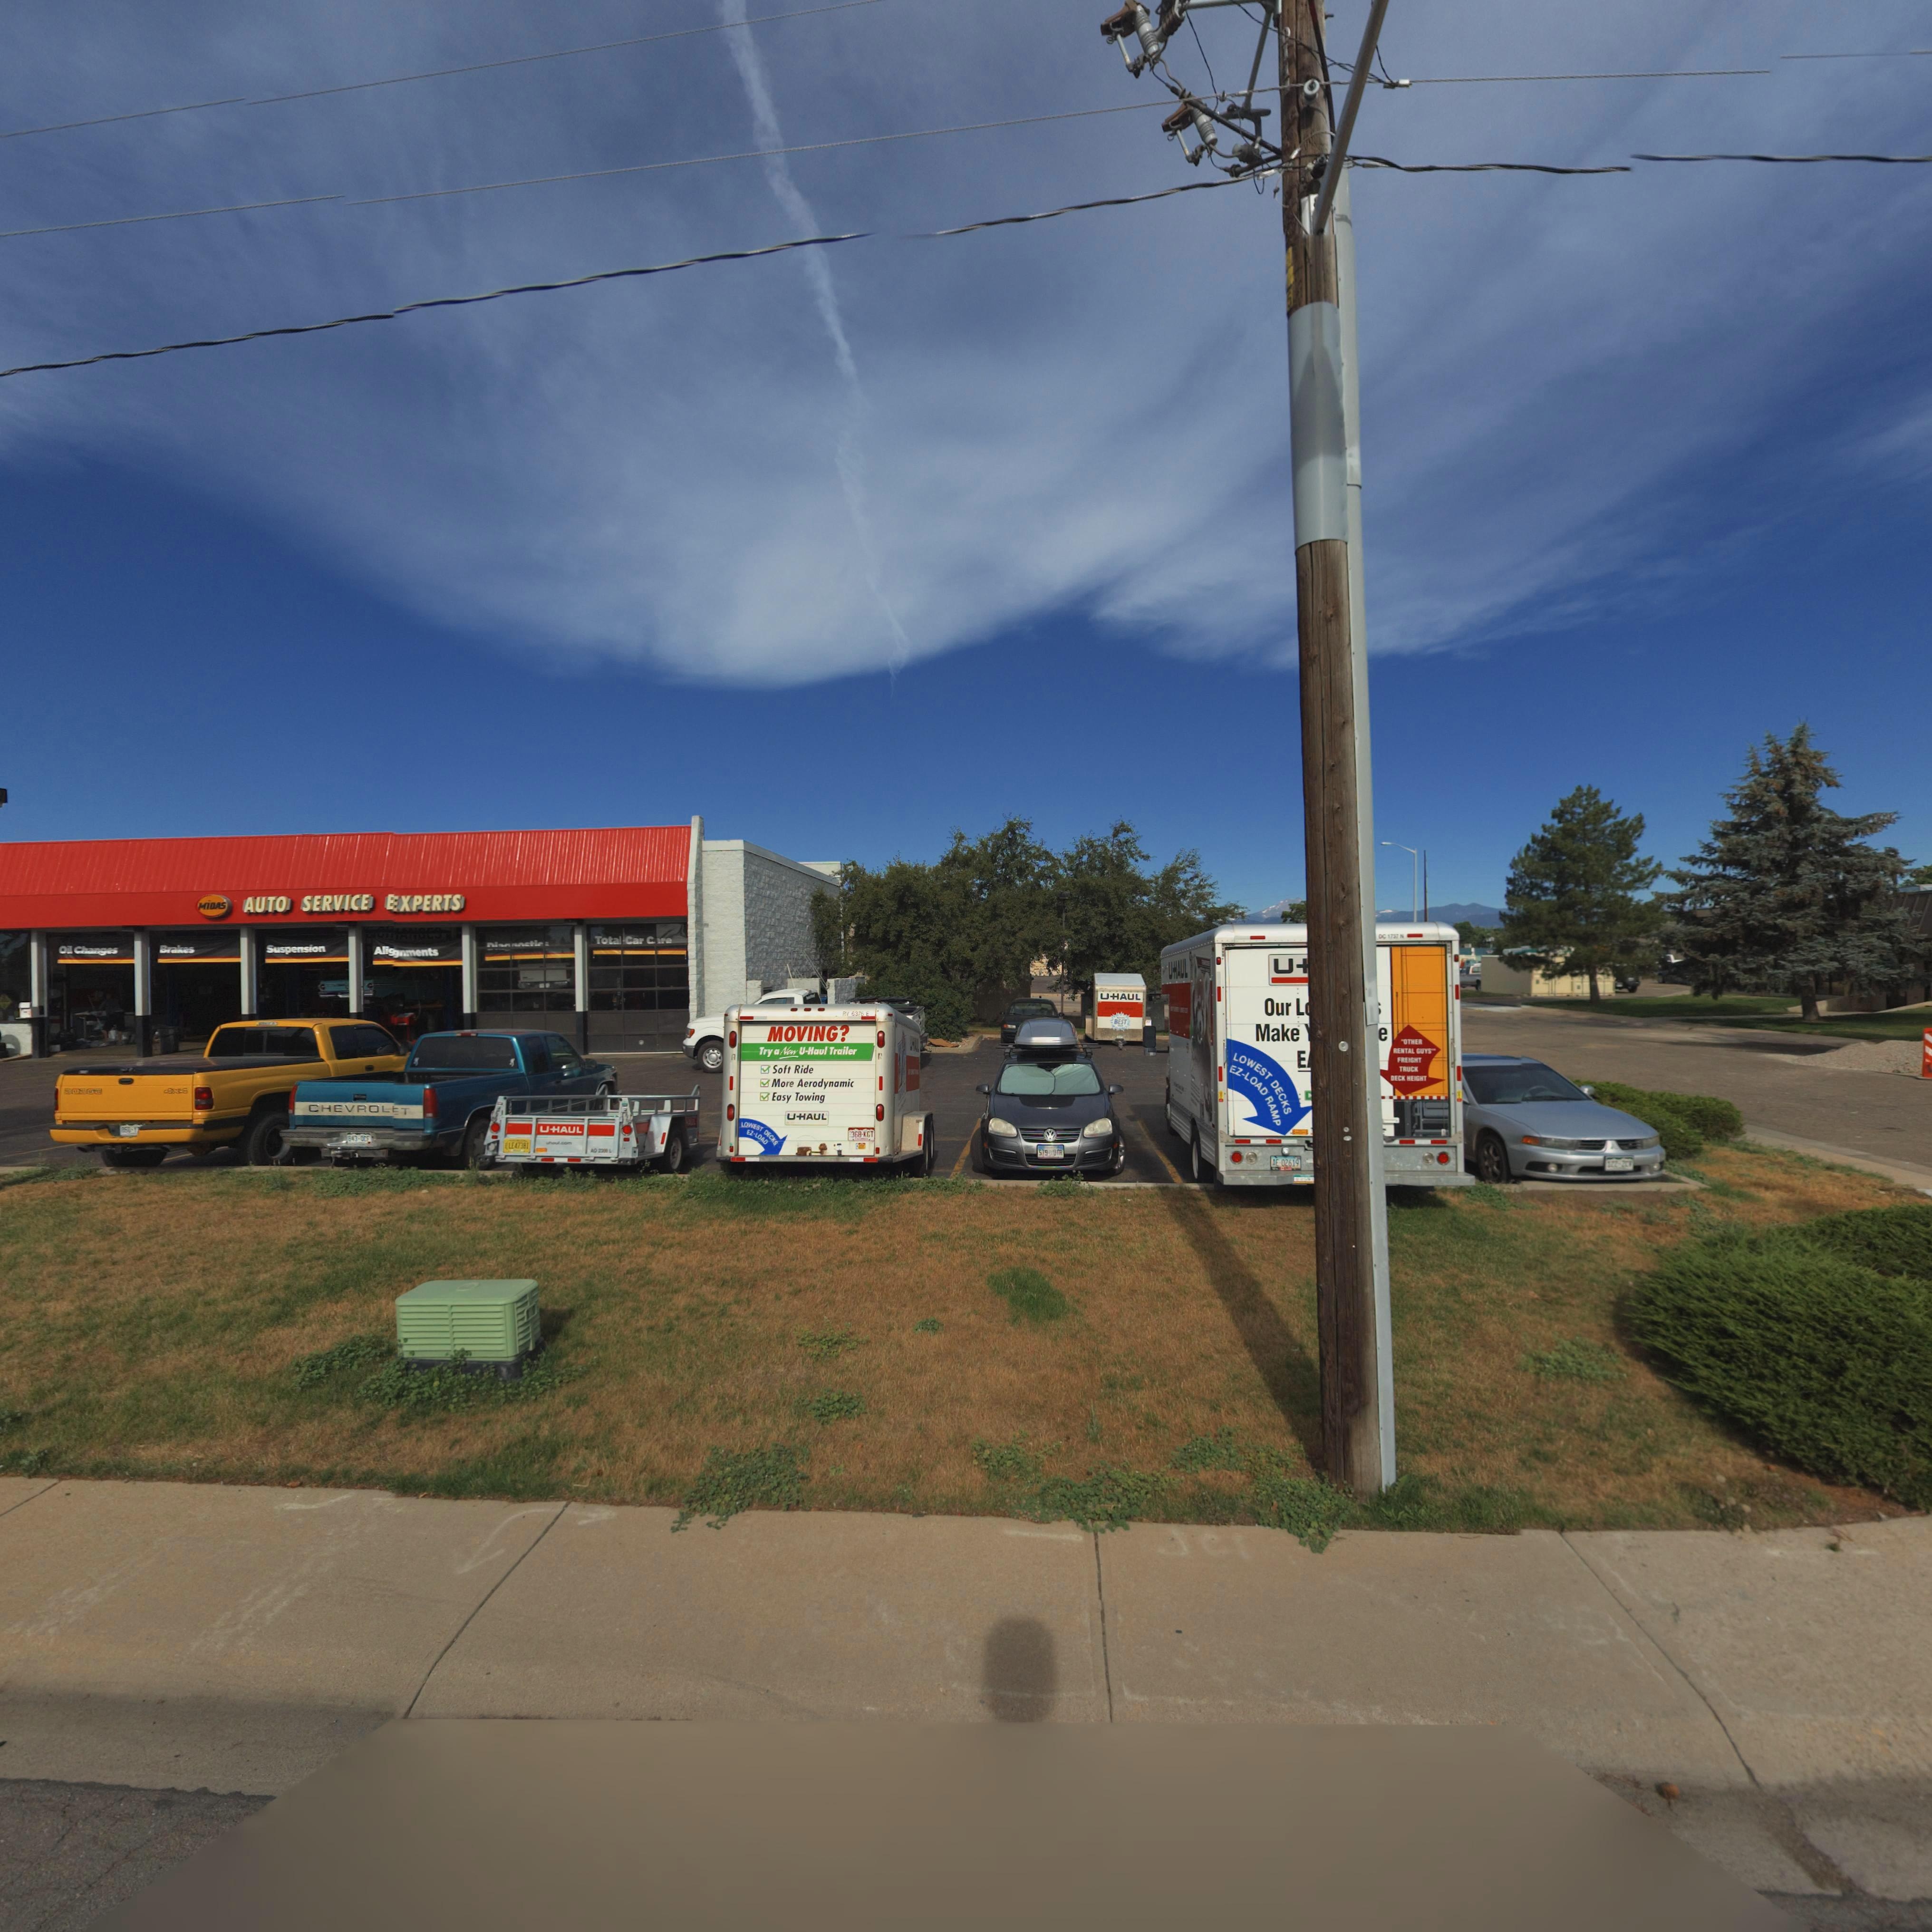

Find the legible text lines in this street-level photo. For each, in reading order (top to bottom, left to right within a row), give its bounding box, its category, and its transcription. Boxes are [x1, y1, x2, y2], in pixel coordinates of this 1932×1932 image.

[197, 899, 226, 910] BusinessName: MiDAS
[242, 893, 462, 913] BusinessName: AUTO SERVICE E*XPERTS